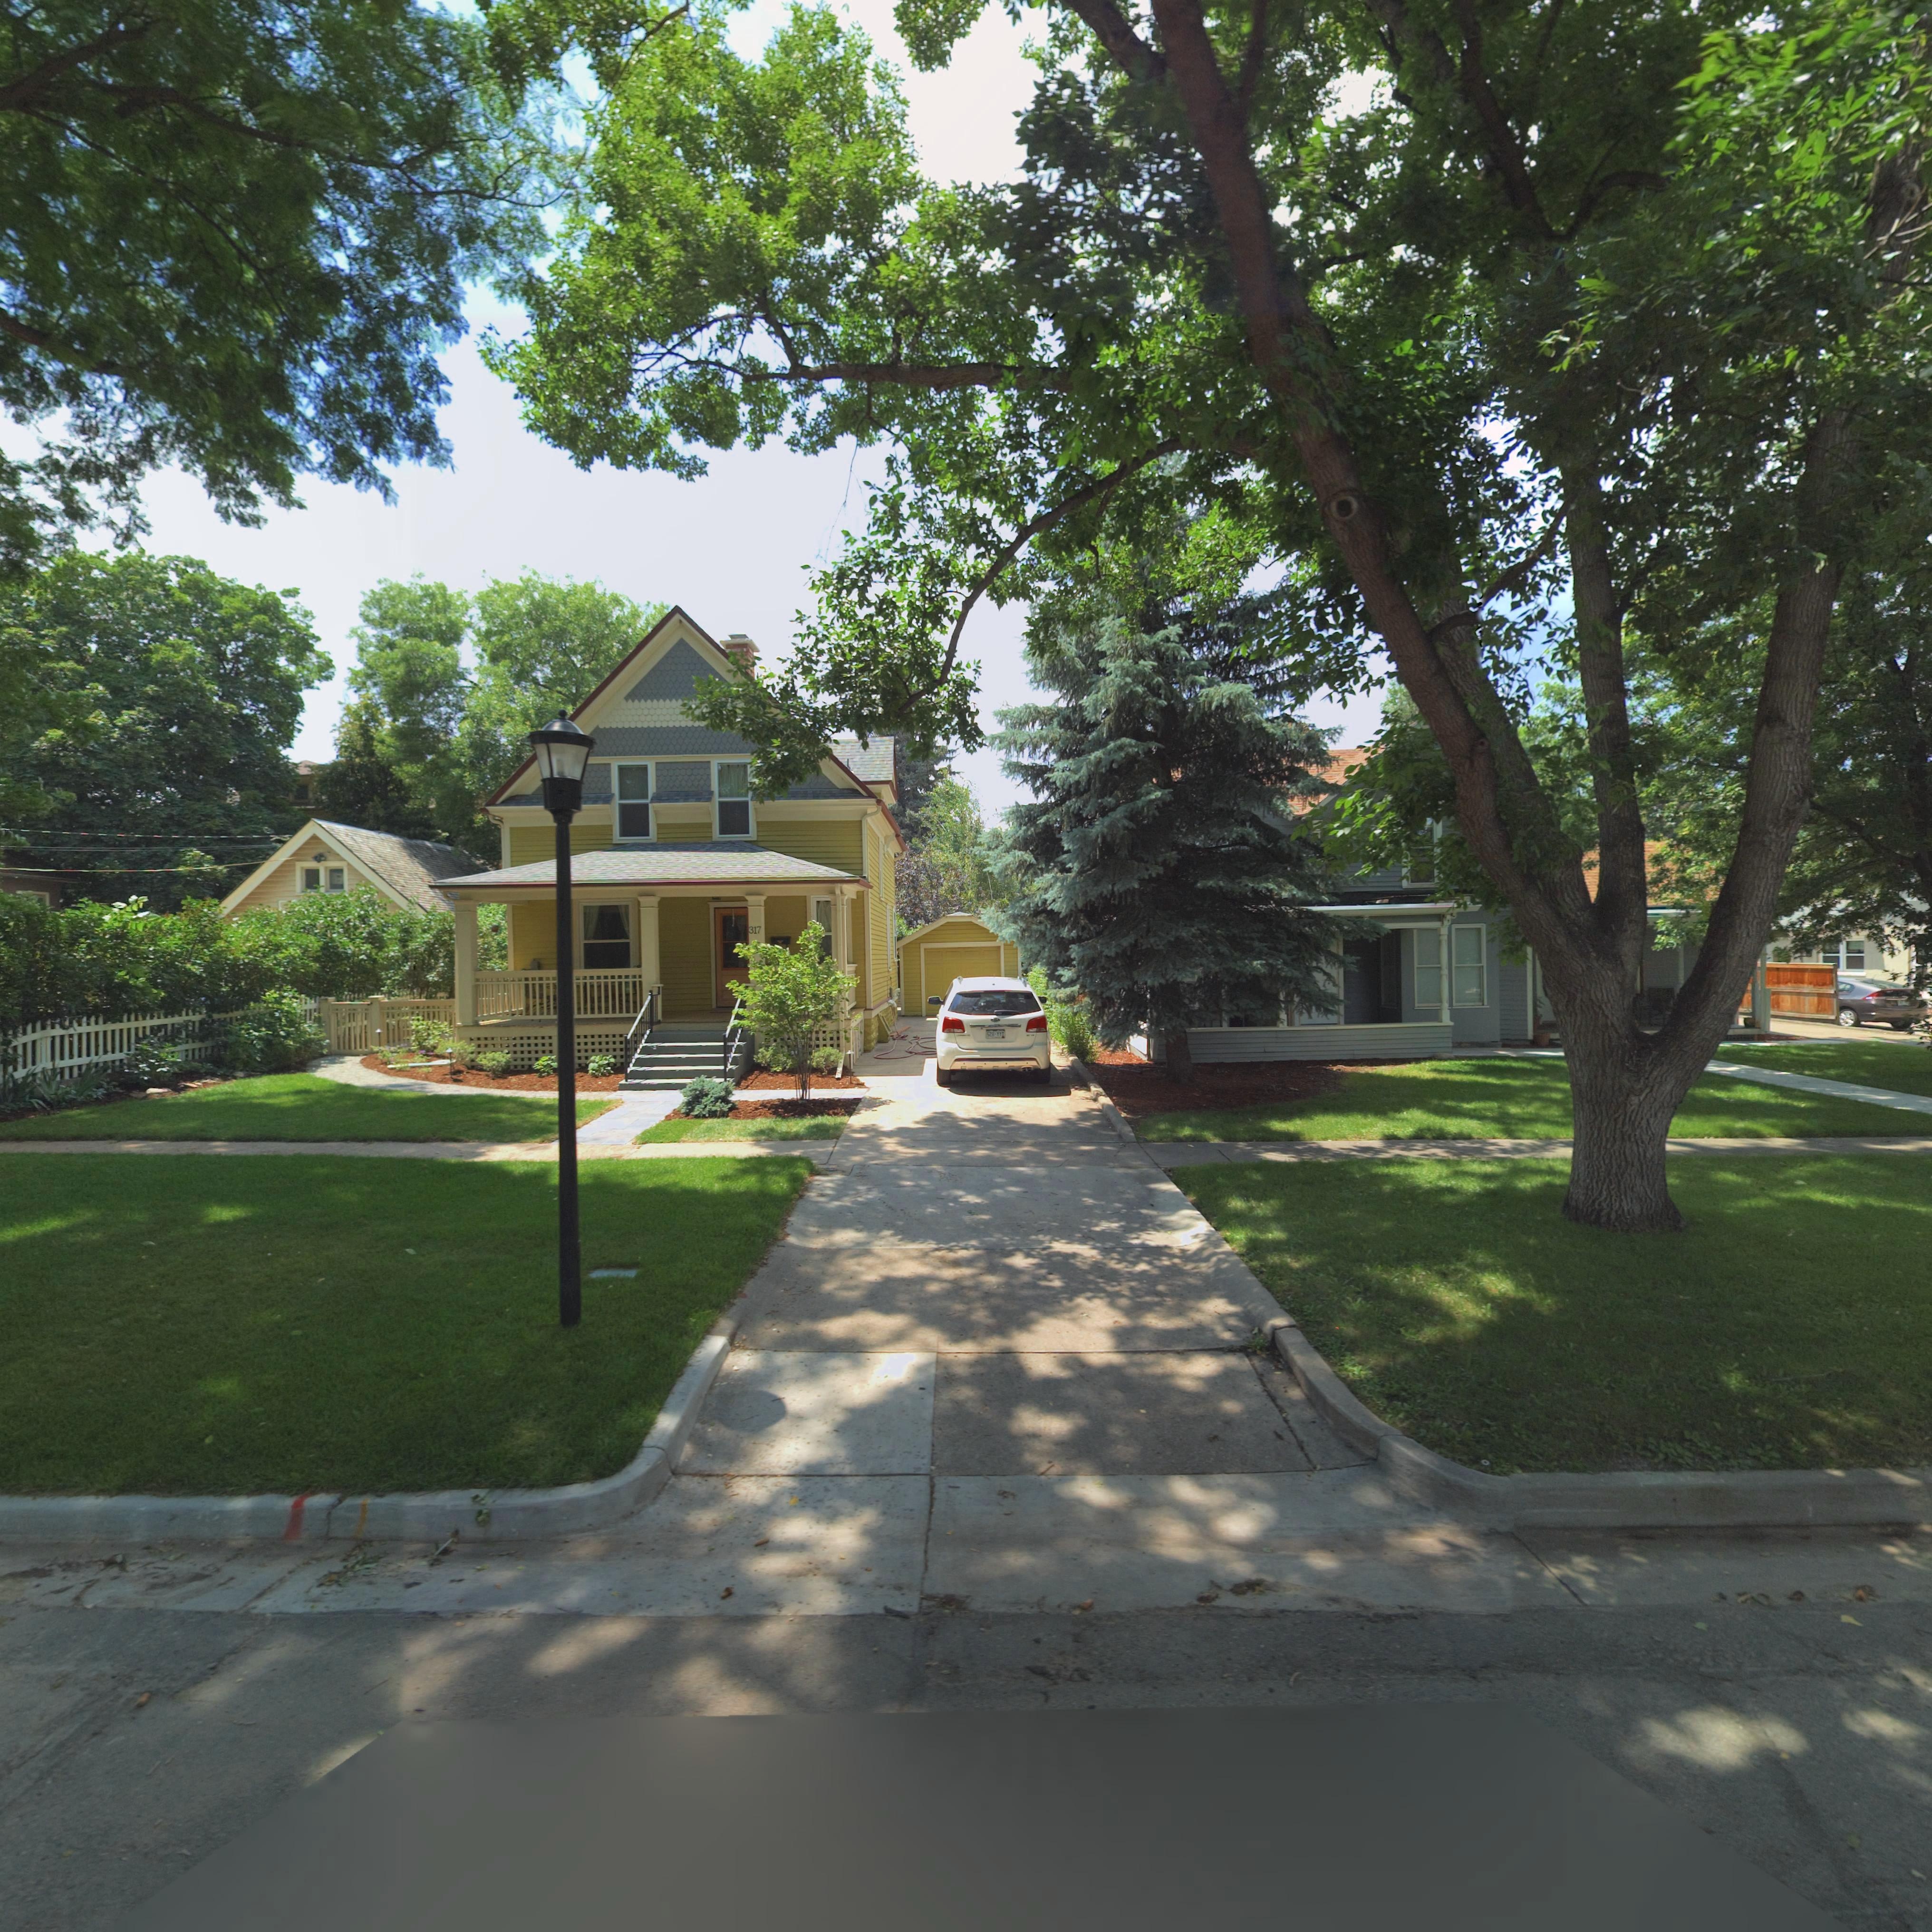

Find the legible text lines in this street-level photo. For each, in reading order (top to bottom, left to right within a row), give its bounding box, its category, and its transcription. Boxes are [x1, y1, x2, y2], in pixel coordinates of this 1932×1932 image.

[749, 926, 761, 934] StreetNumber: 317